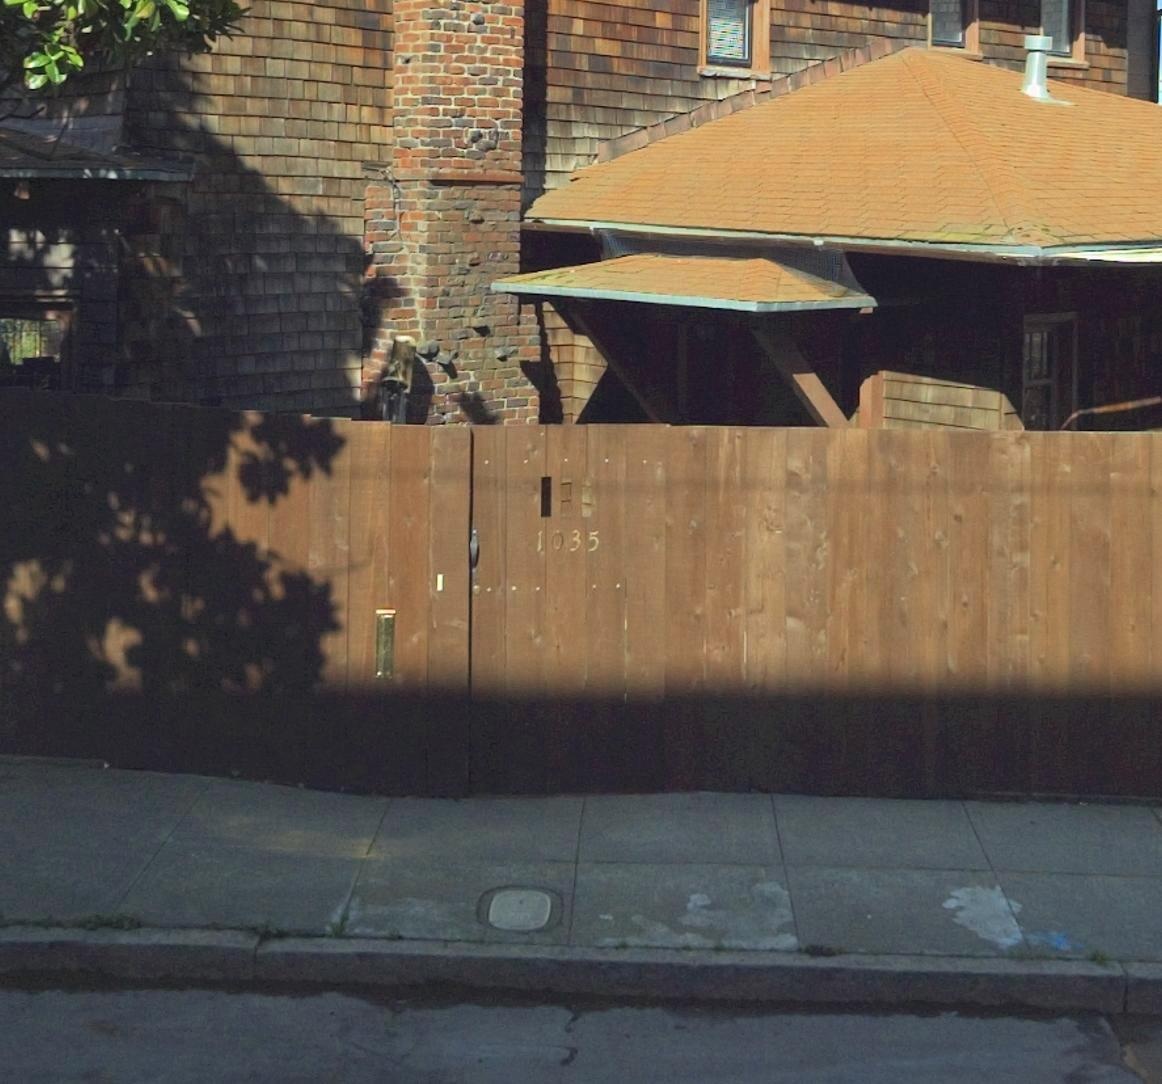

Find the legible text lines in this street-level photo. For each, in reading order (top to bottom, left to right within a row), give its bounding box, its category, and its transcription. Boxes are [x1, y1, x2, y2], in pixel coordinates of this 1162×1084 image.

[533, 528, 601, 554] StreetNumber: 1035